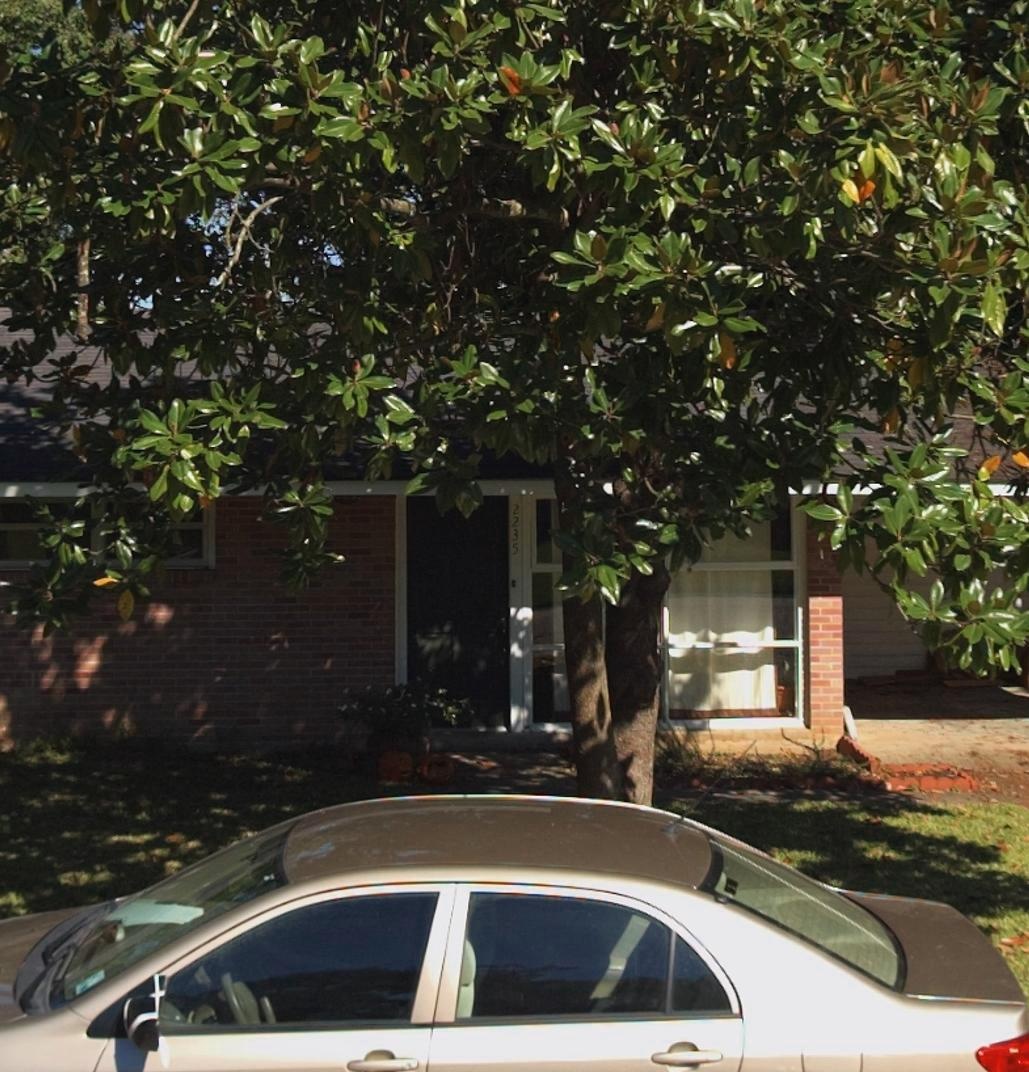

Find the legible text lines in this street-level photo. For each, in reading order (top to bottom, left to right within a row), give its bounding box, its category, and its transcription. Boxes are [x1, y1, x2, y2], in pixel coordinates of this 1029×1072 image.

[510, 502, 521, 557] StreetNumber: 2235